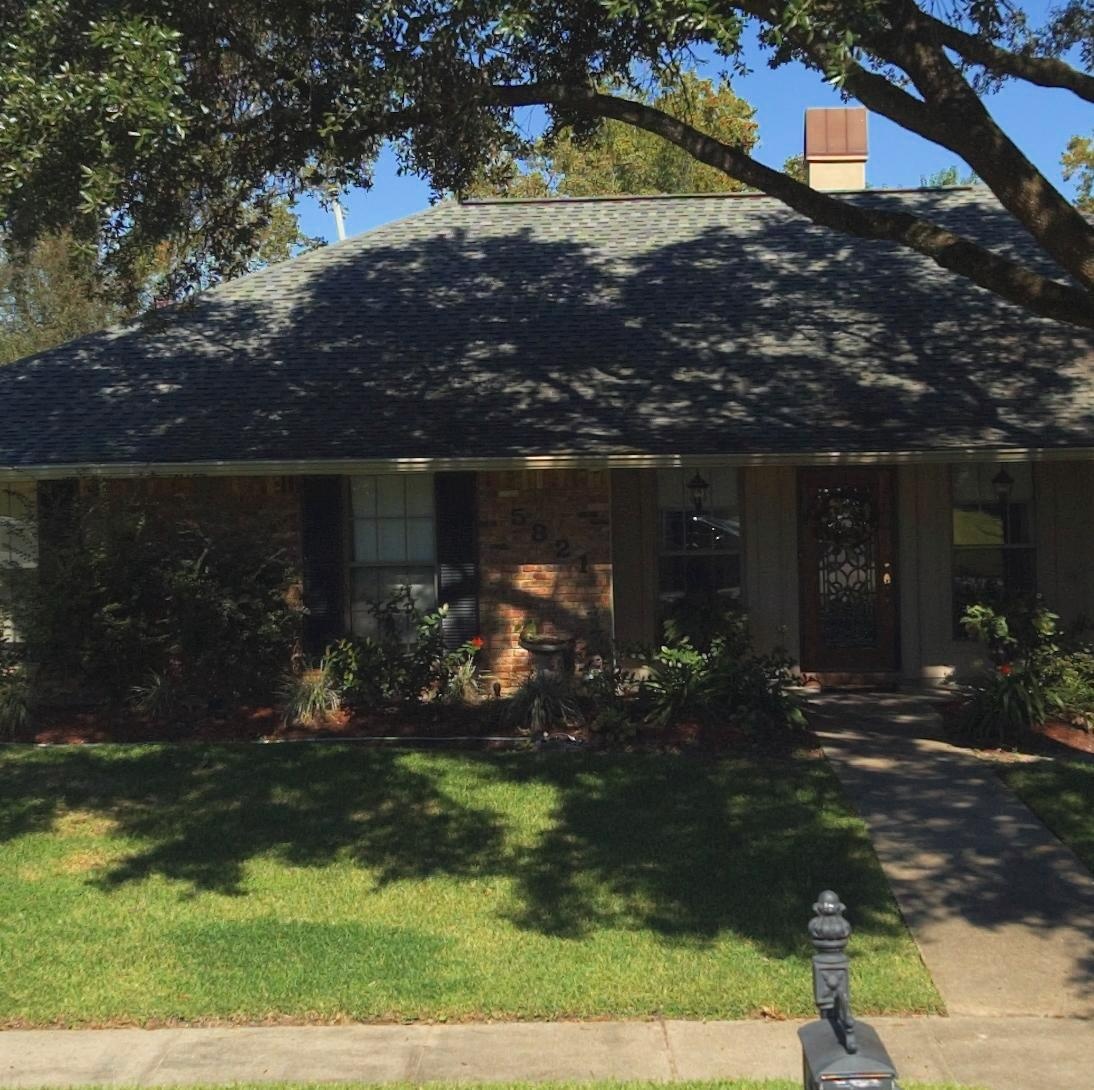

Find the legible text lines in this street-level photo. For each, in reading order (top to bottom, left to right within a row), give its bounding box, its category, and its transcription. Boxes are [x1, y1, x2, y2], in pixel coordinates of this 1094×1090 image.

[509, 506, 591, 577] StreetNumber: 5821